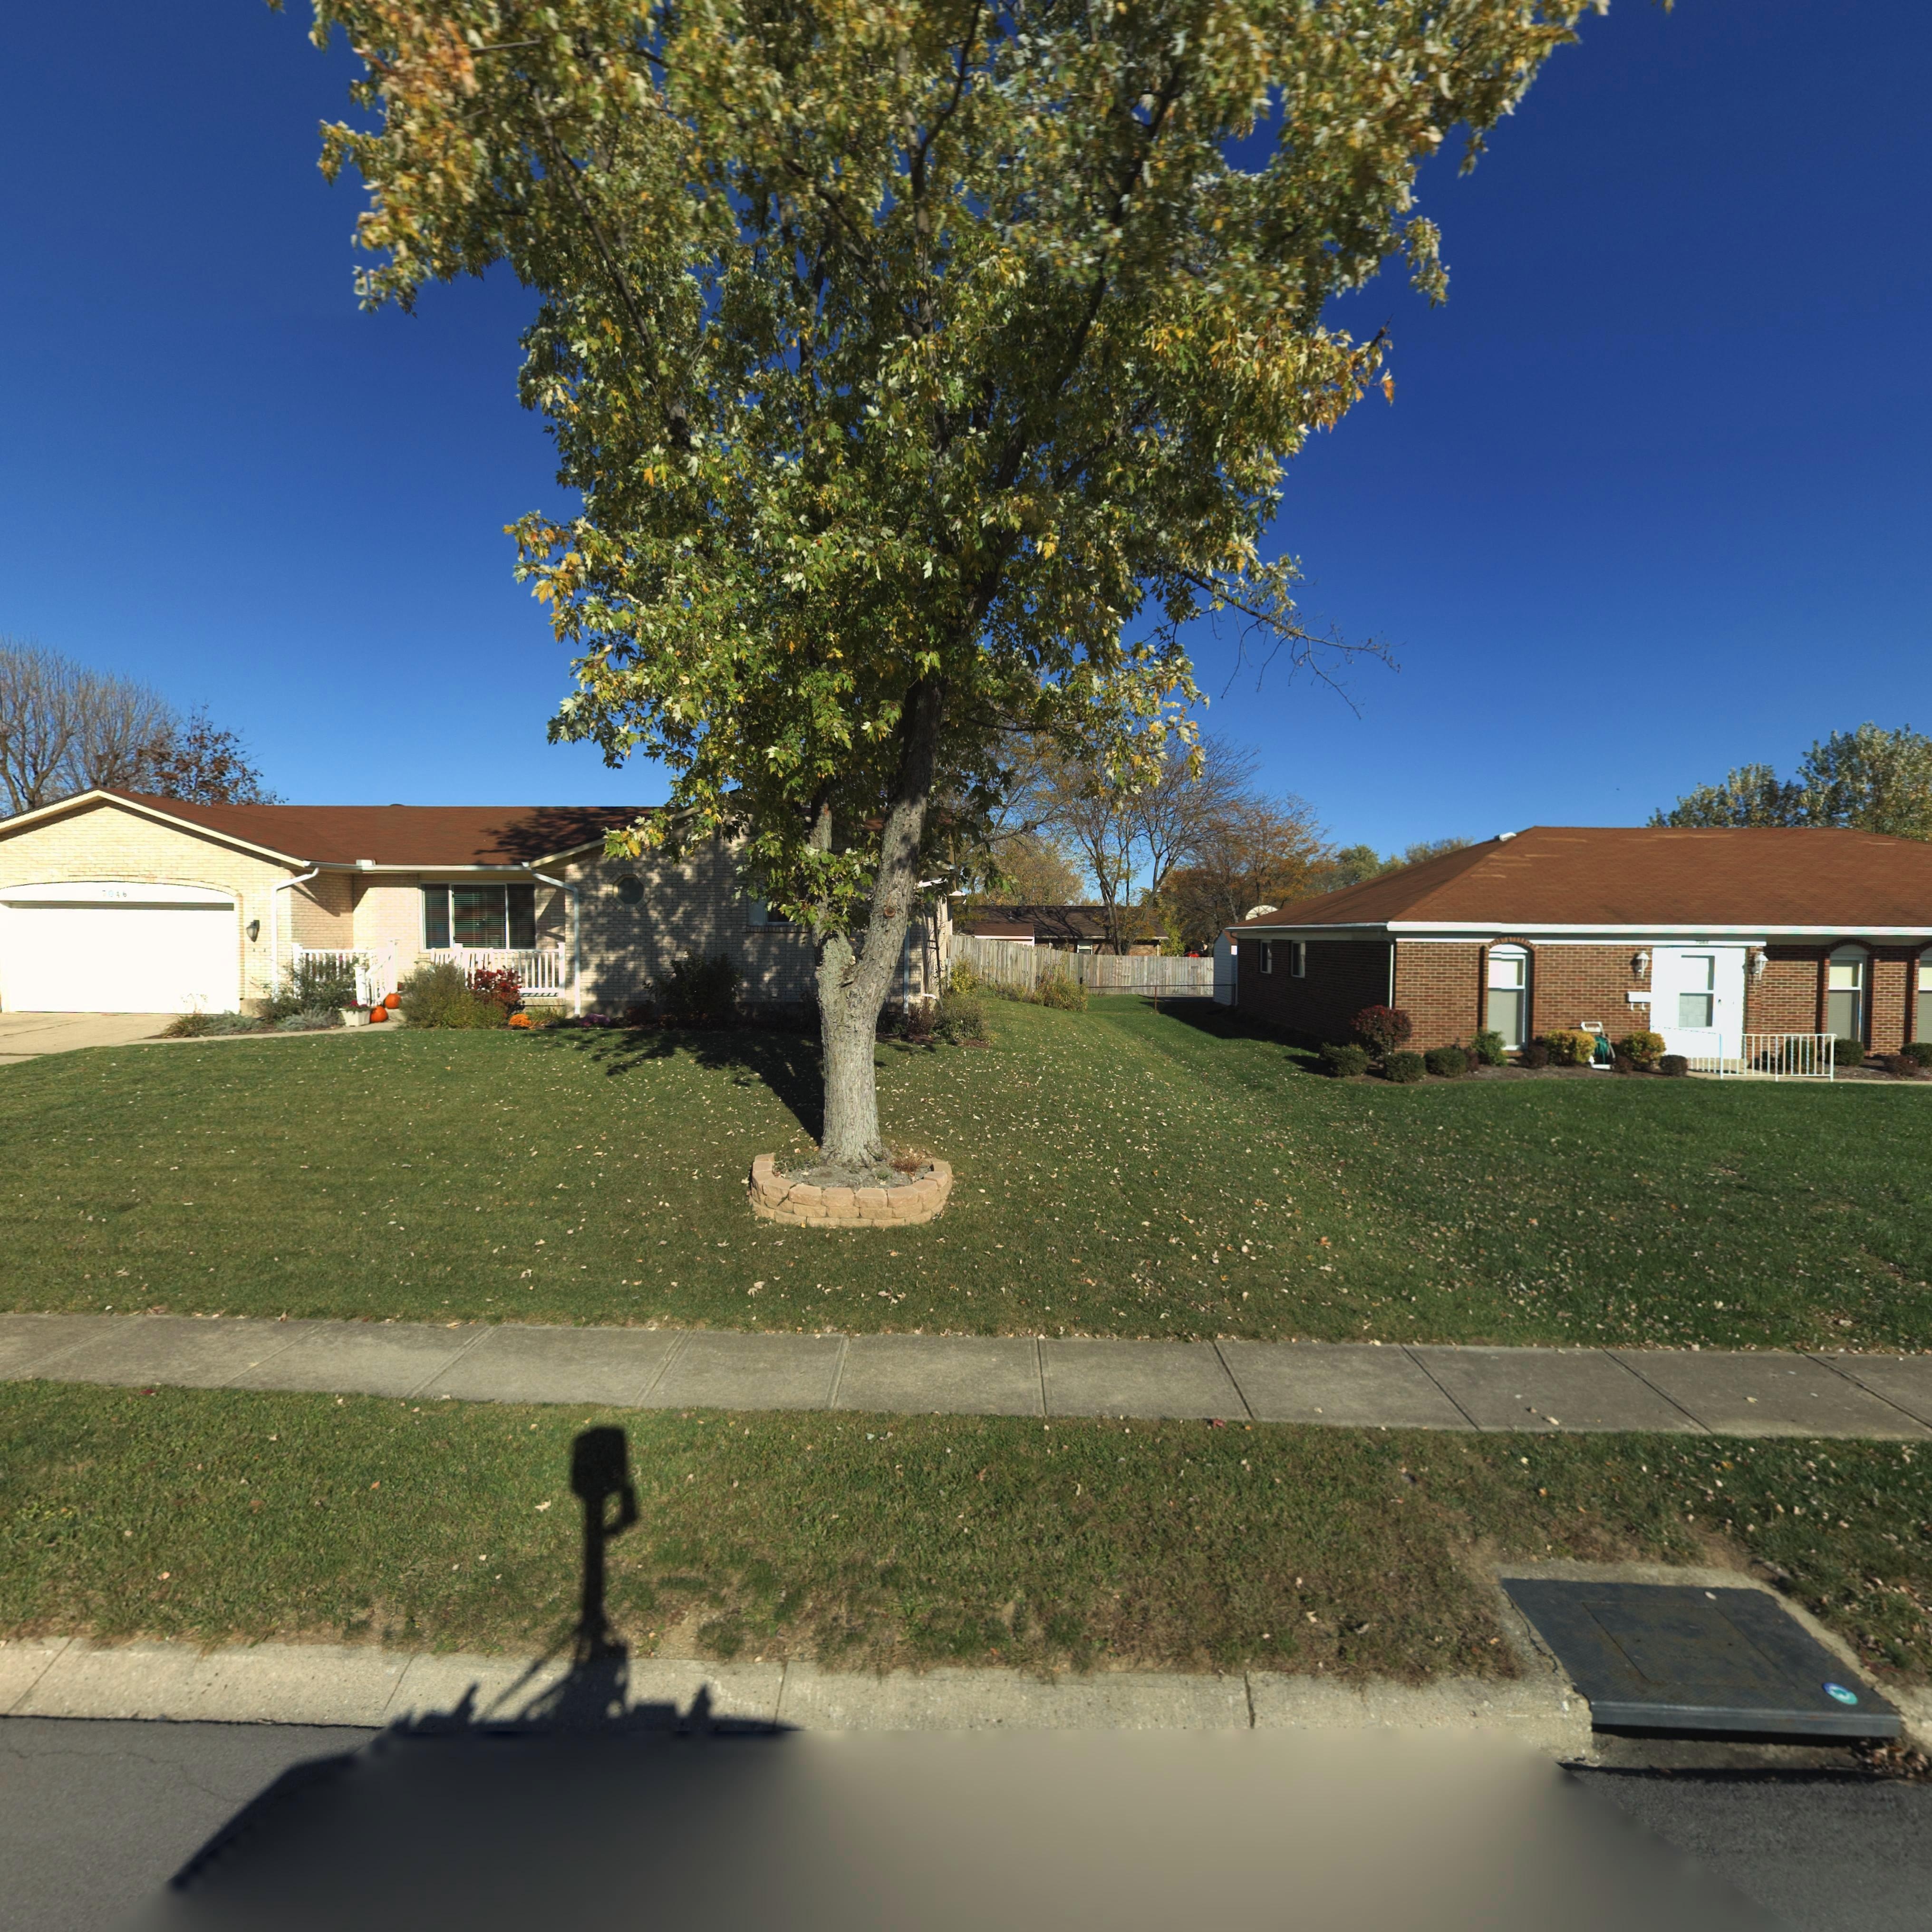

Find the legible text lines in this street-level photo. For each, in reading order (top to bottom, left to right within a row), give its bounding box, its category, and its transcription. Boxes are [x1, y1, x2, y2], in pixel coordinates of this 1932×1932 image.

[101, 889, 128, 898] StreetNumber: 7046
[1694, 939, 1710, 945] StreetNumber: 7044